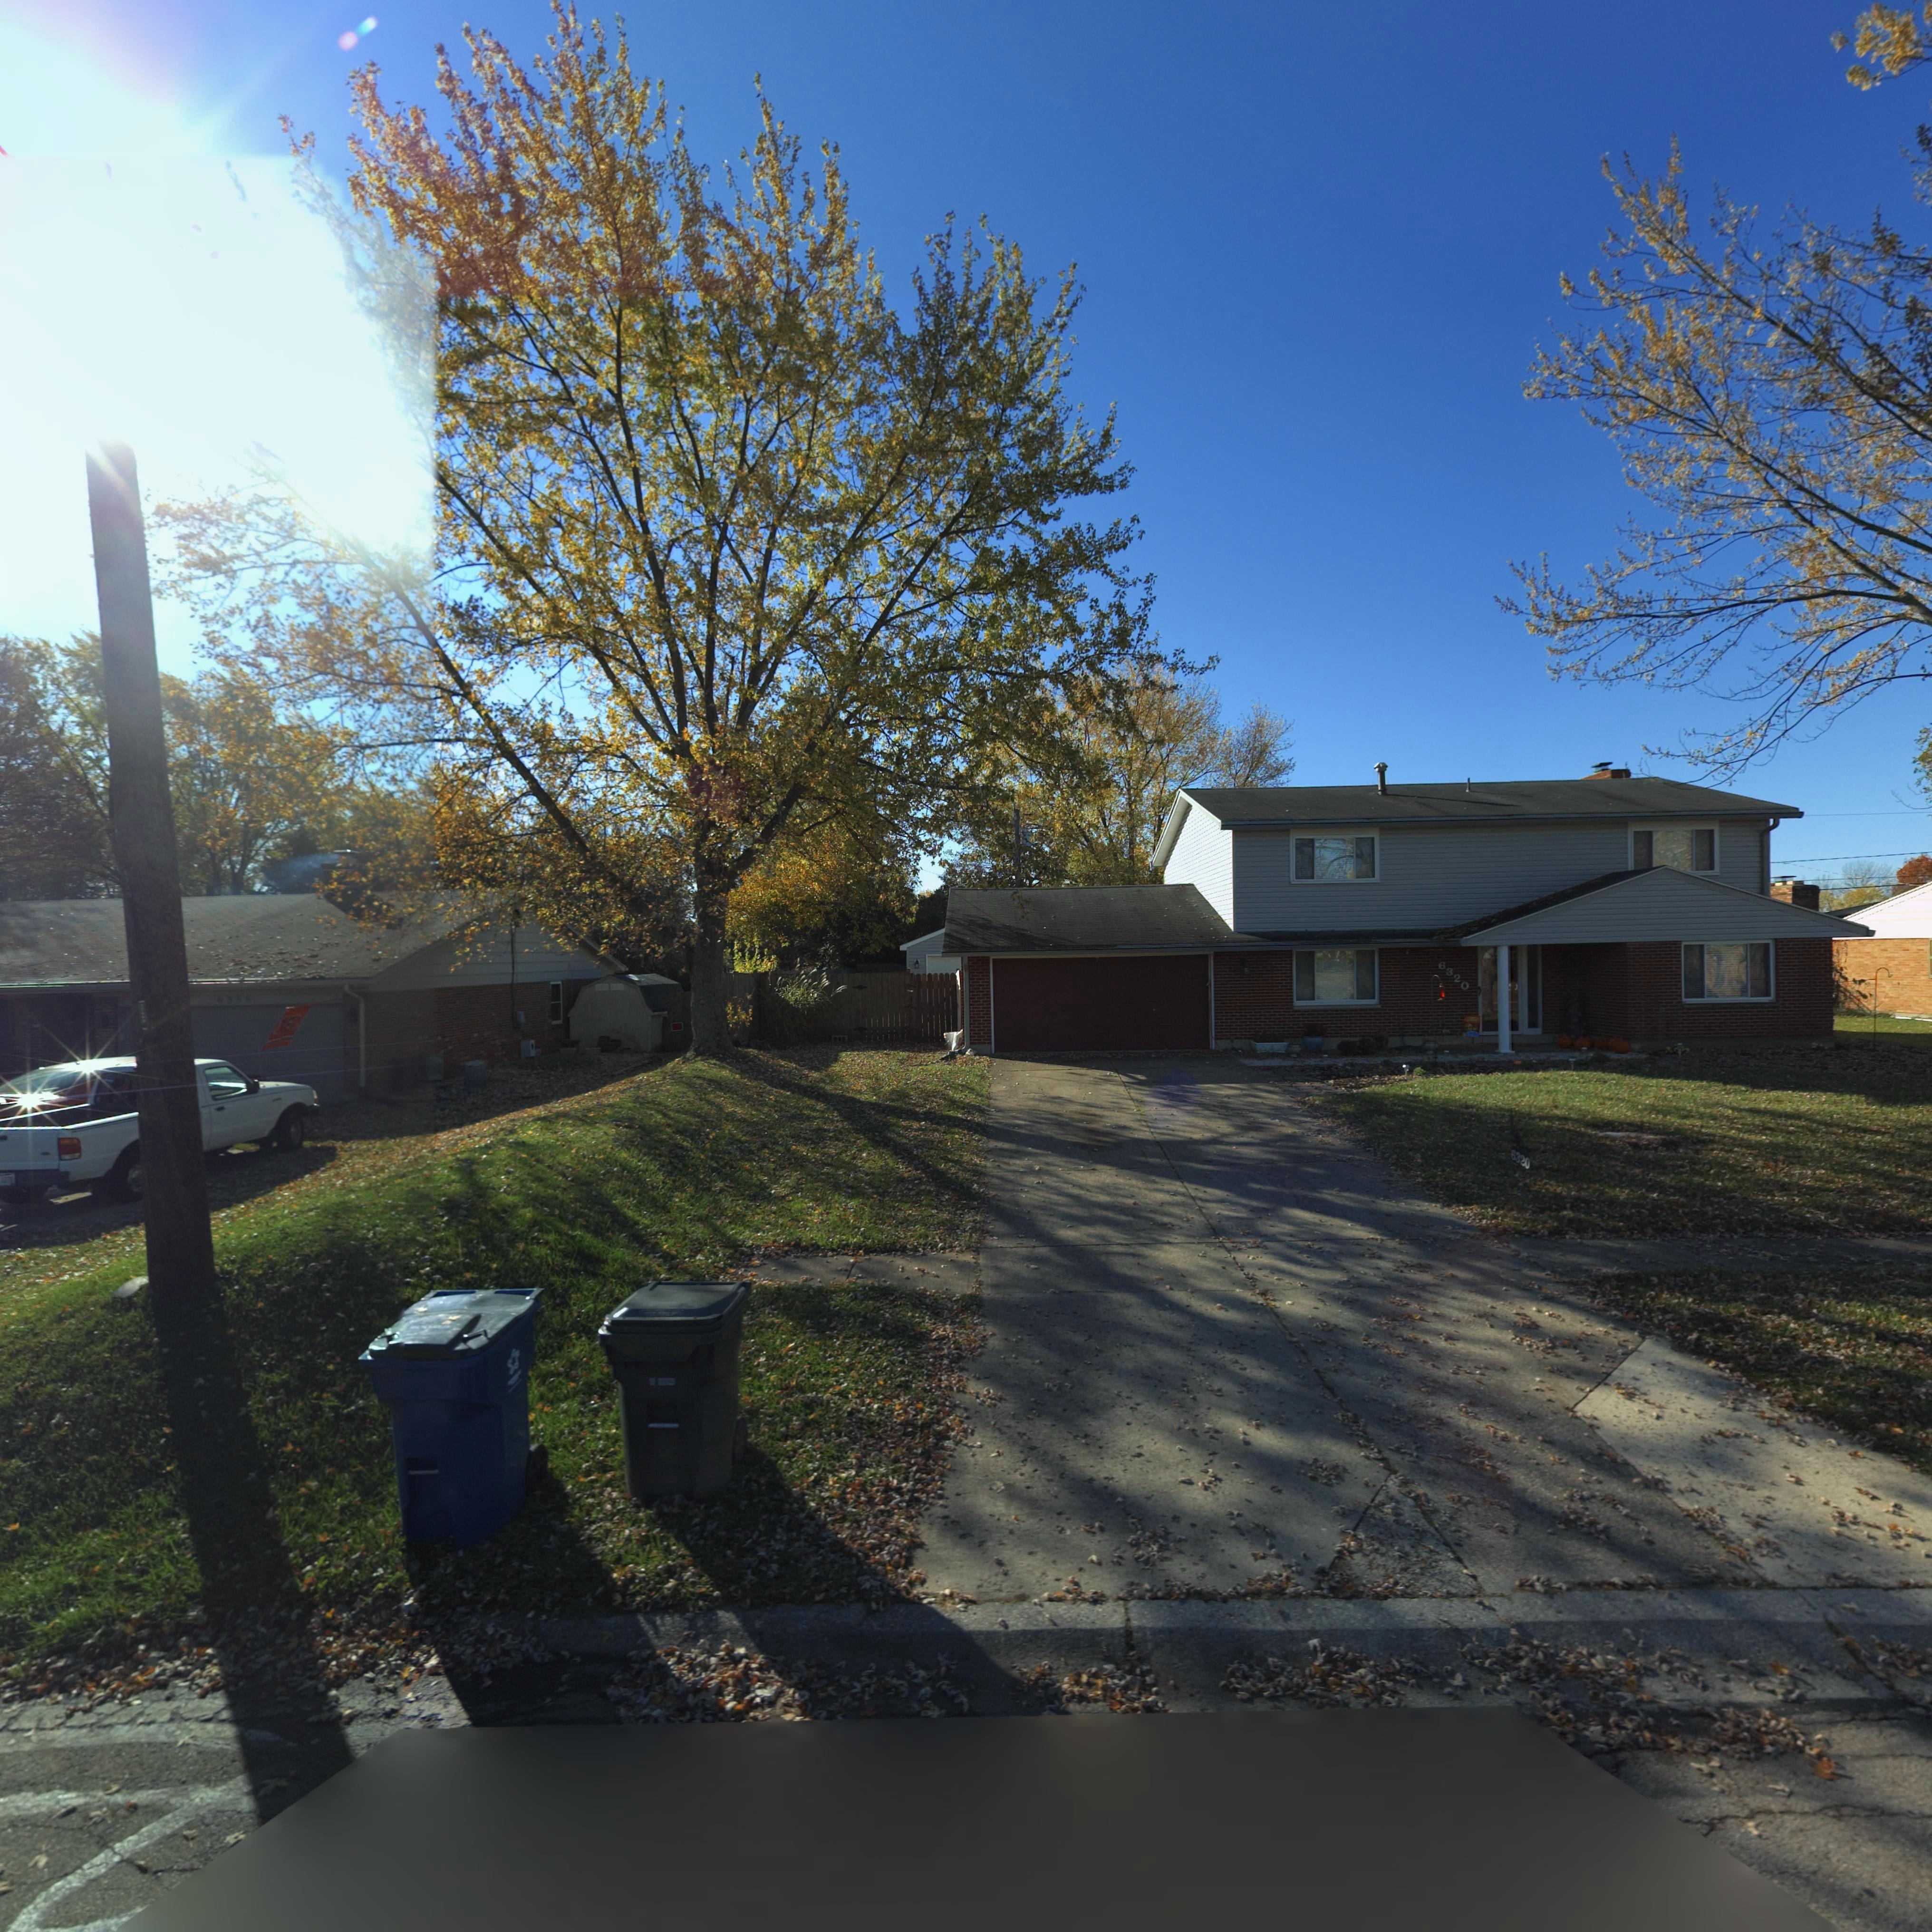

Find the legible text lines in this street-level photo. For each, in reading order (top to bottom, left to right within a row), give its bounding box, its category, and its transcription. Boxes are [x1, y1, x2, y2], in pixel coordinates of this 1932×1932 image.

[1437, 960, 1470, 992] StreetNumber: 6320
[215, 993, 253, 1006] StreetNumber: 63**
[1510, 1148, 1532, 1171] StreetNumber: 6320